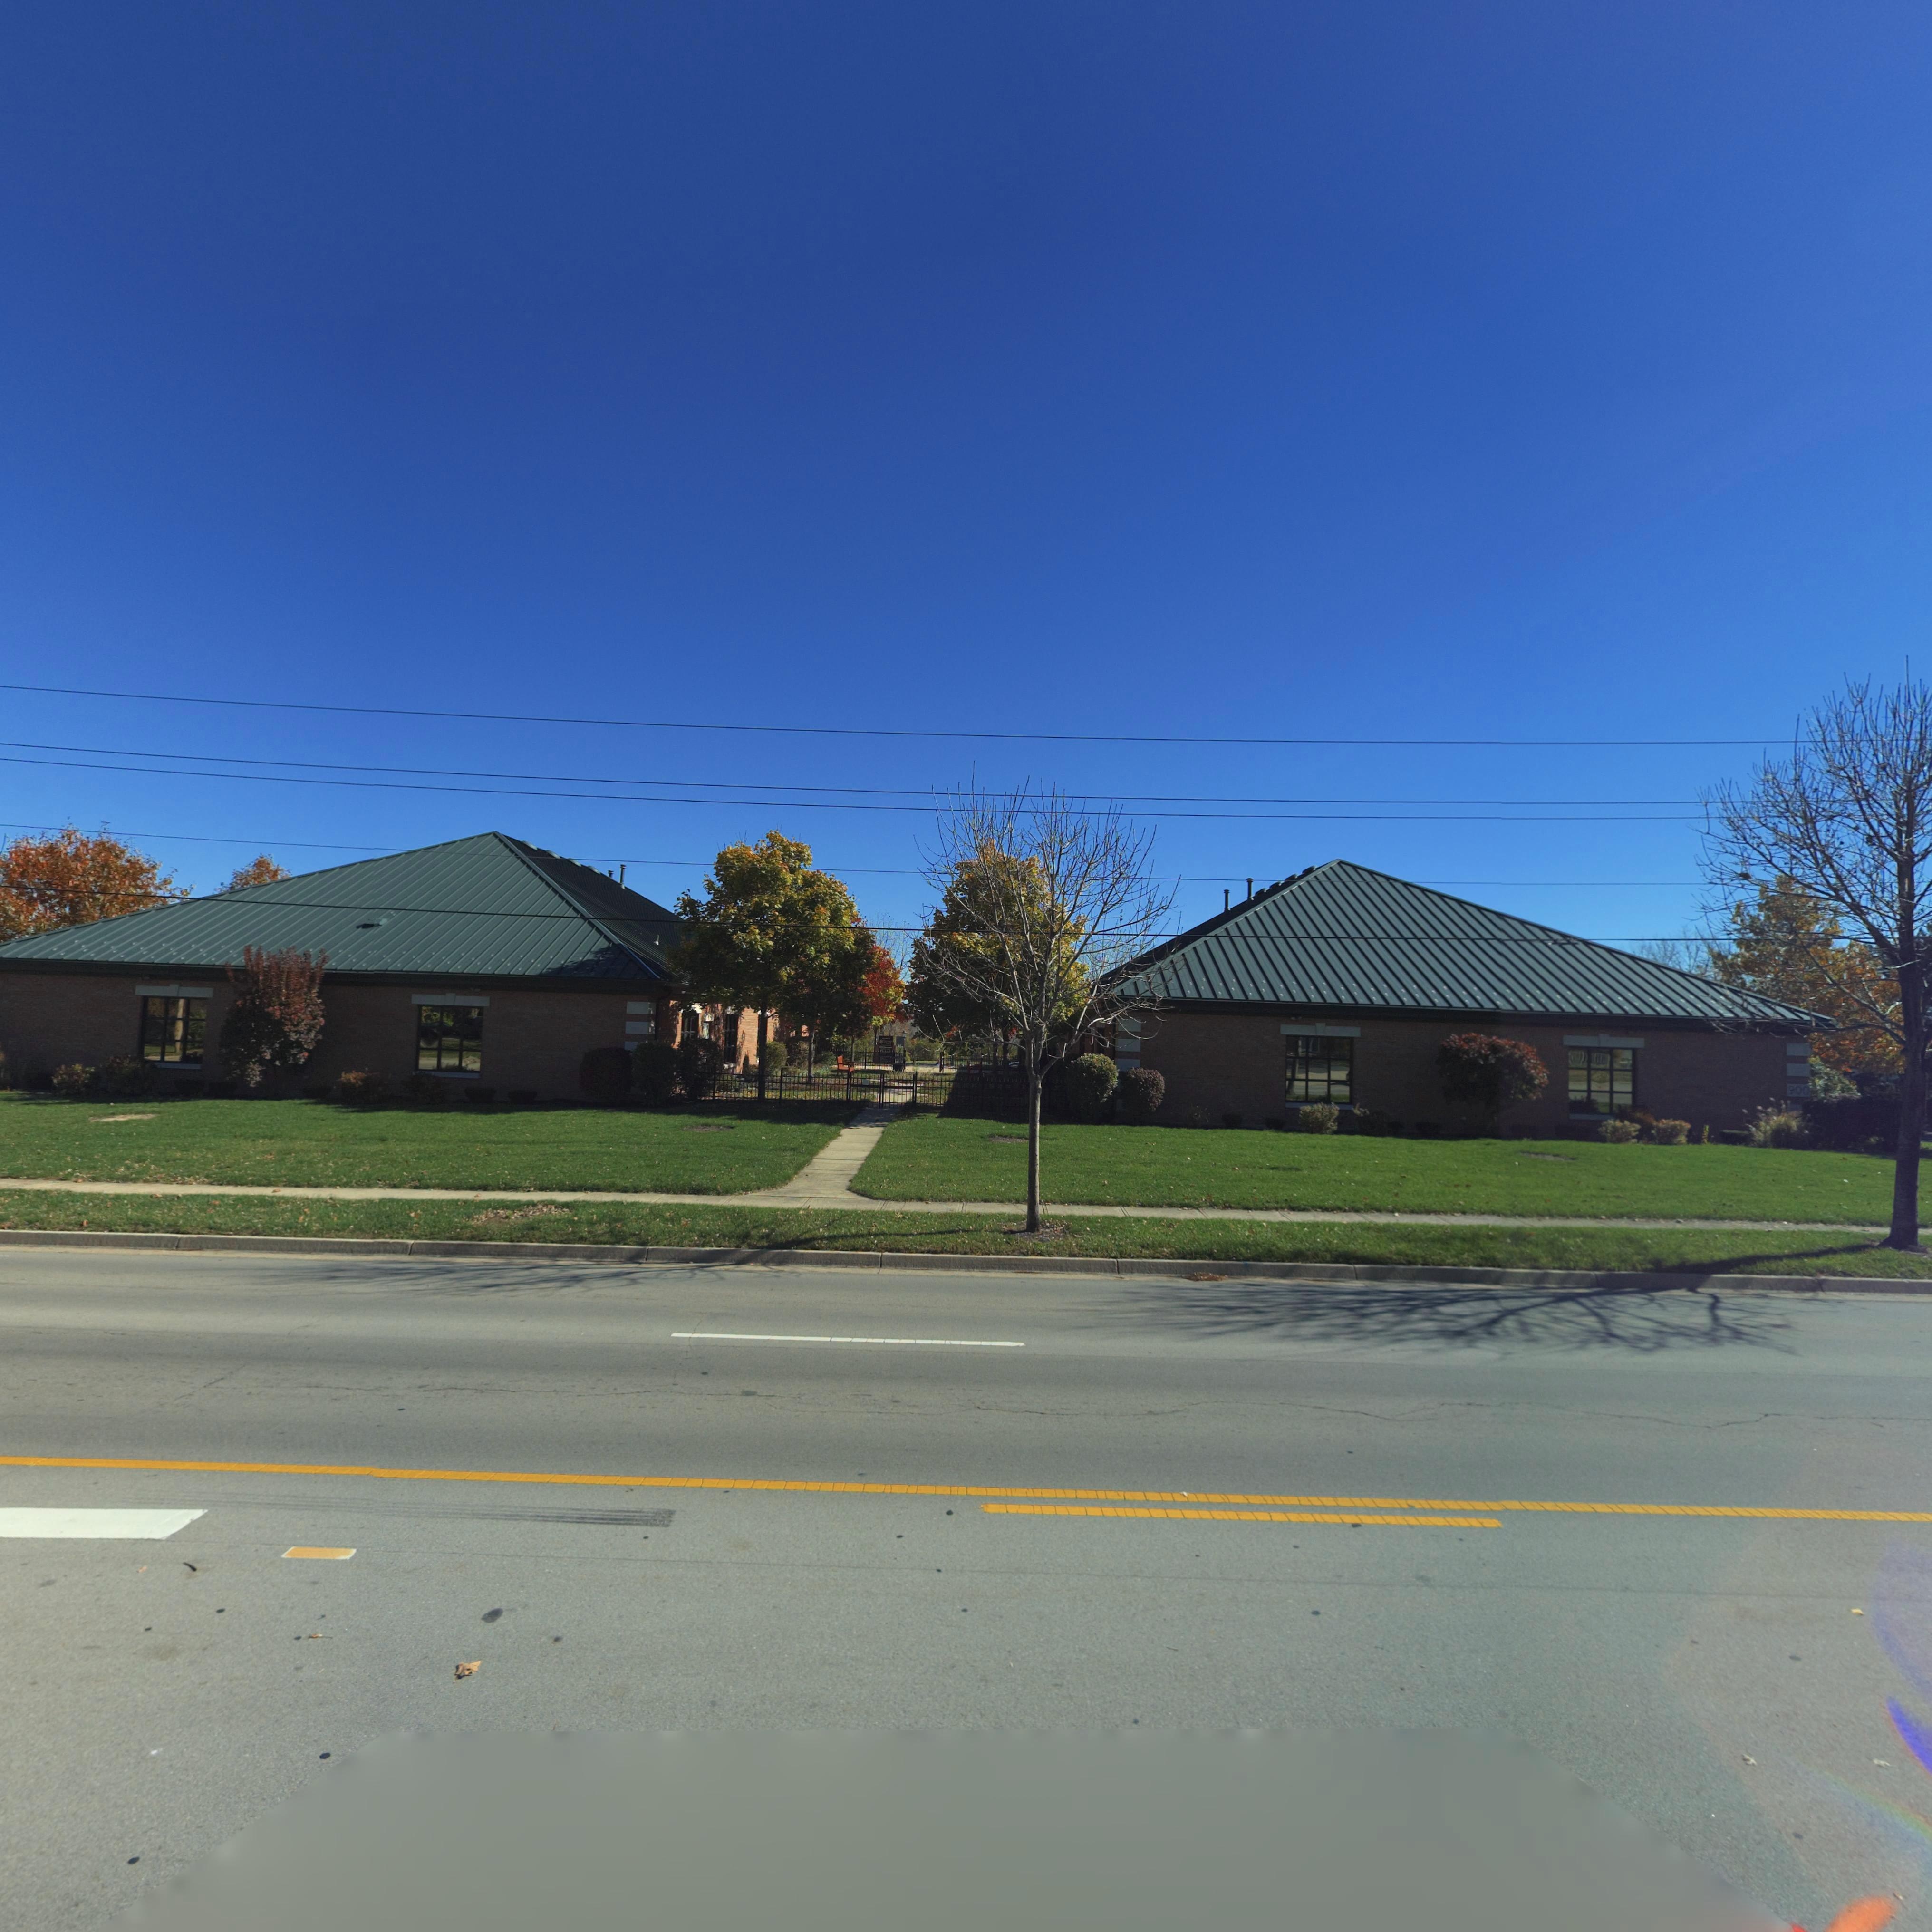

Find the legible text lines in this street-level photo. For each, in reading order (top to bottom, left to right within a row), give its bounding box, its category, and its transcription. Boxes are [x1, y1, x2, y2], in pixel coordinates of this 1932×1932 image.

[1787, 1085, 1811, 1096] StreetNumber: 900